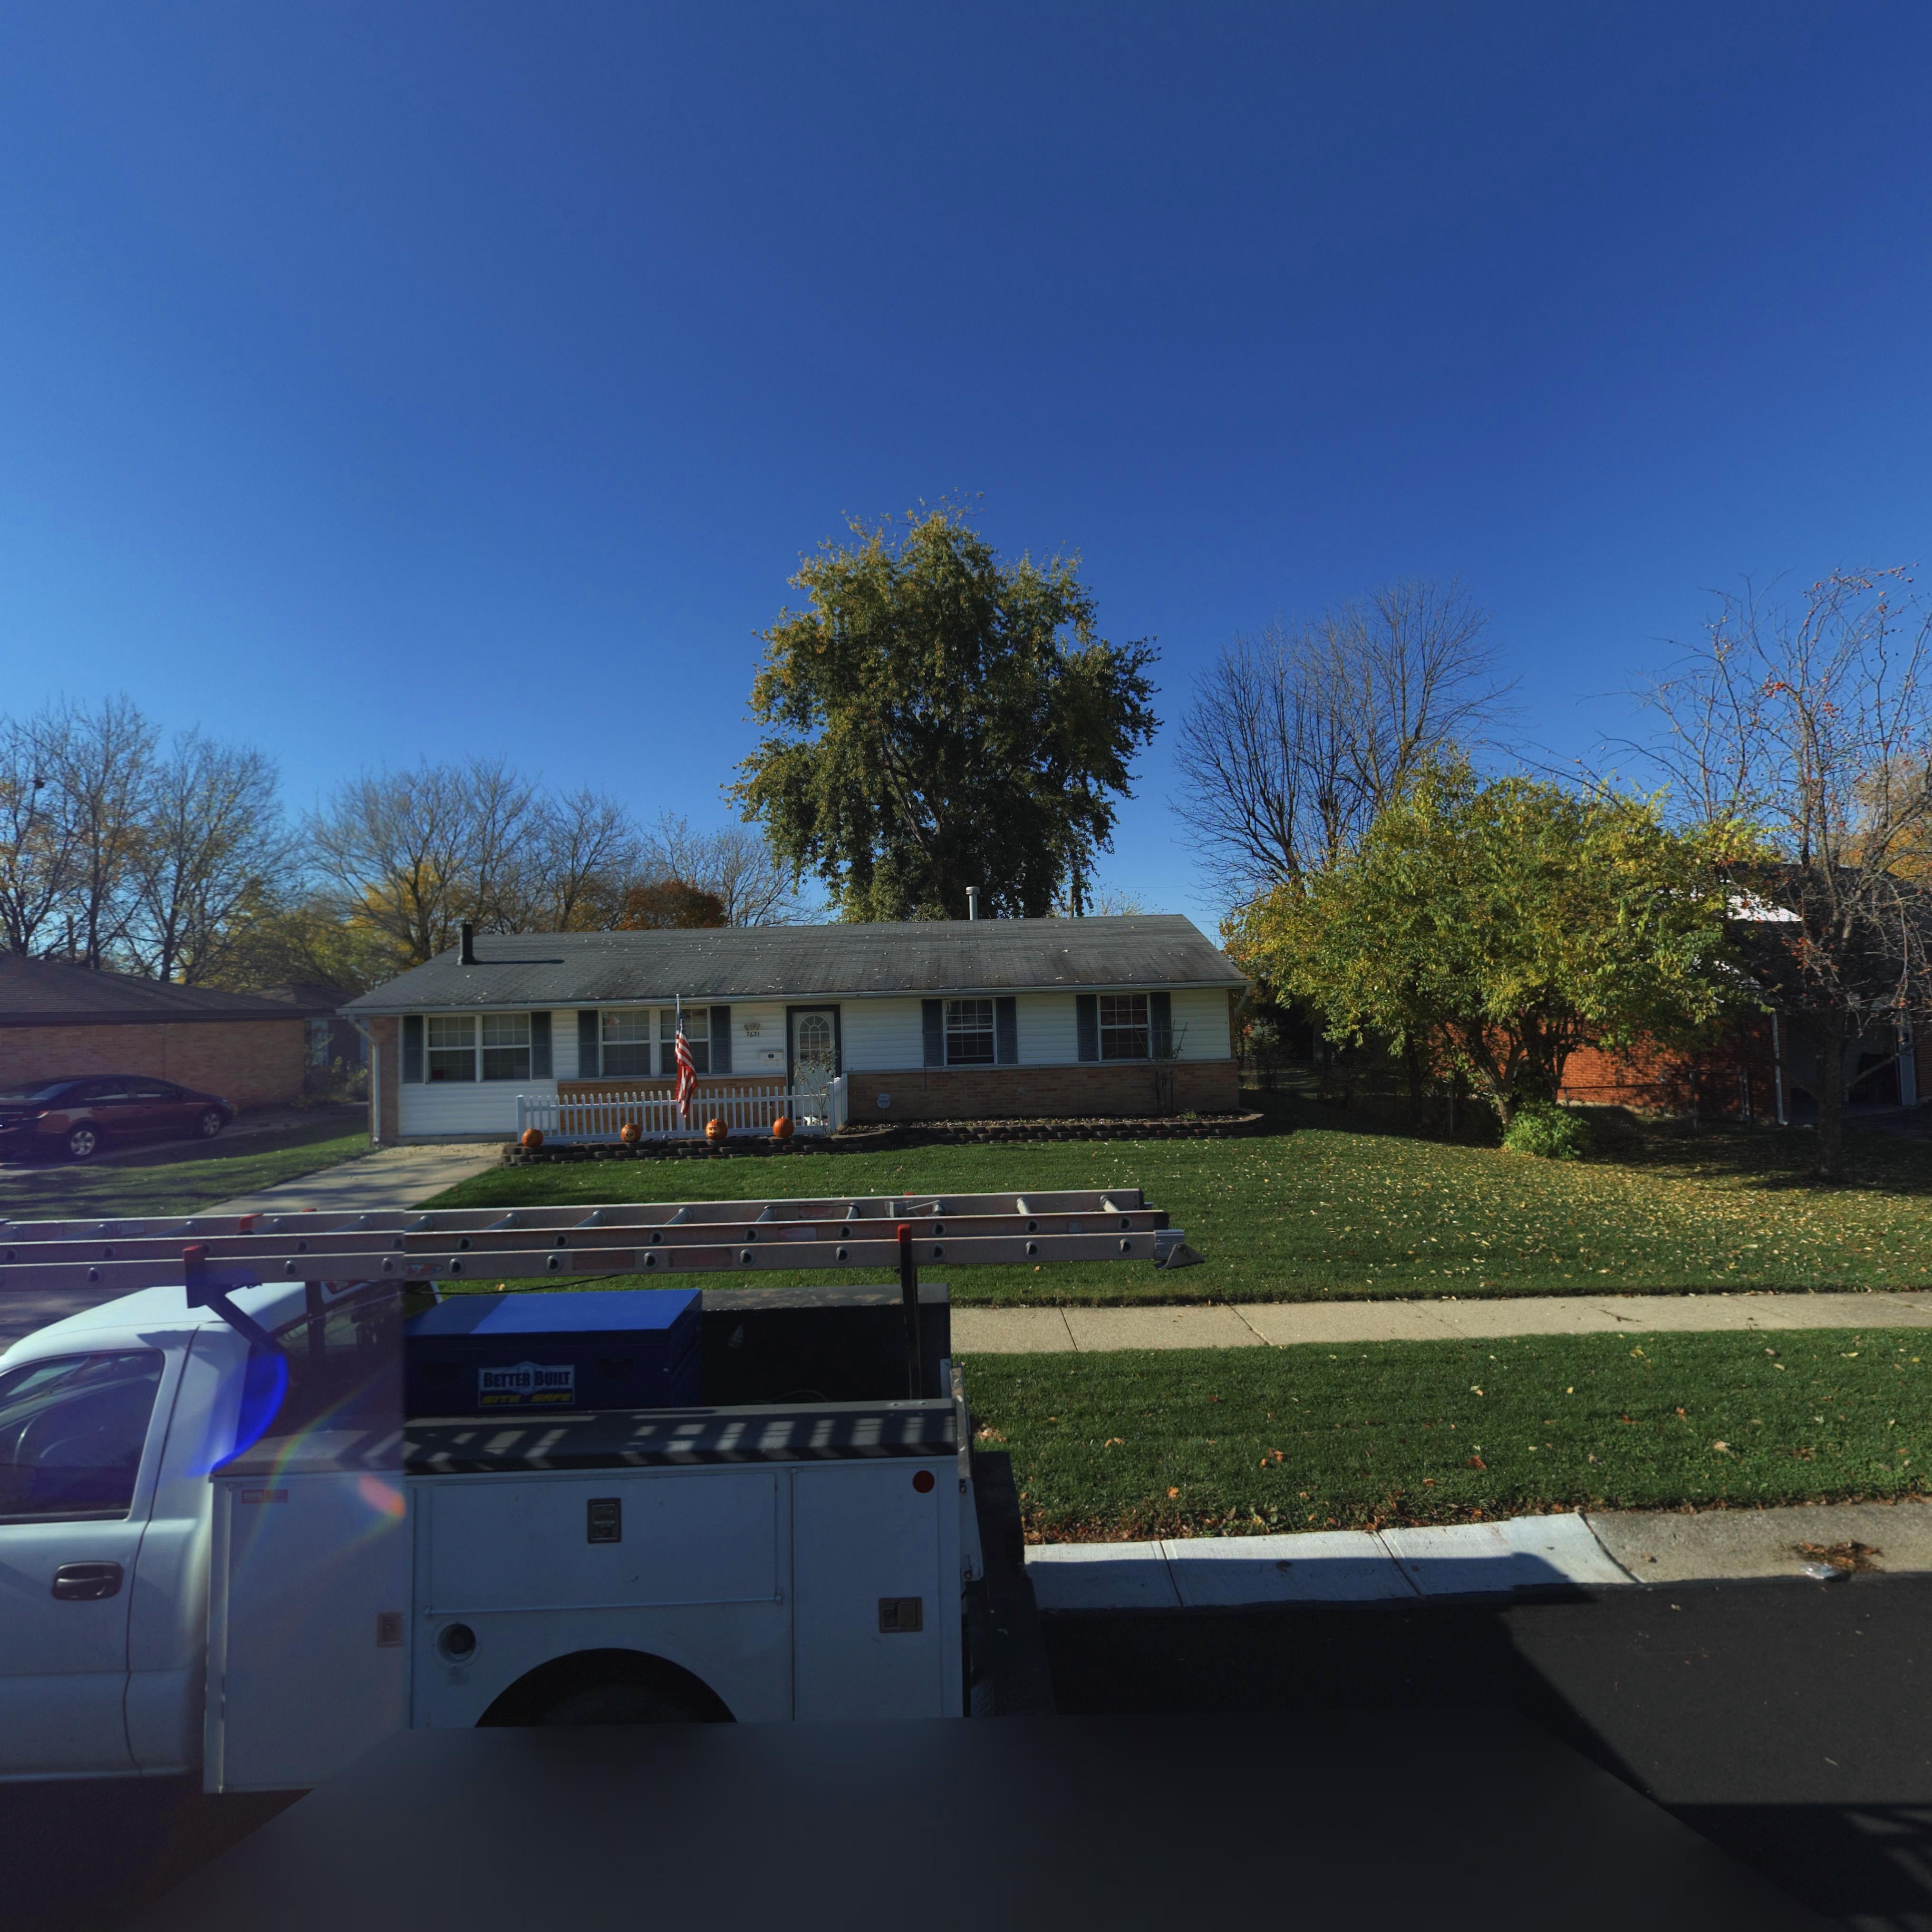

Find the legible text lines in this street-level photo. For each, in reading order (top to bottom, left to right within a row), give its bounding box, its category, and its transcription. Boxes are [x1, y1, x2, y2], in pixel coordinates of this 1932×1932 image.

[745, 1030, 761, 1039] StreetNumber: 76*1